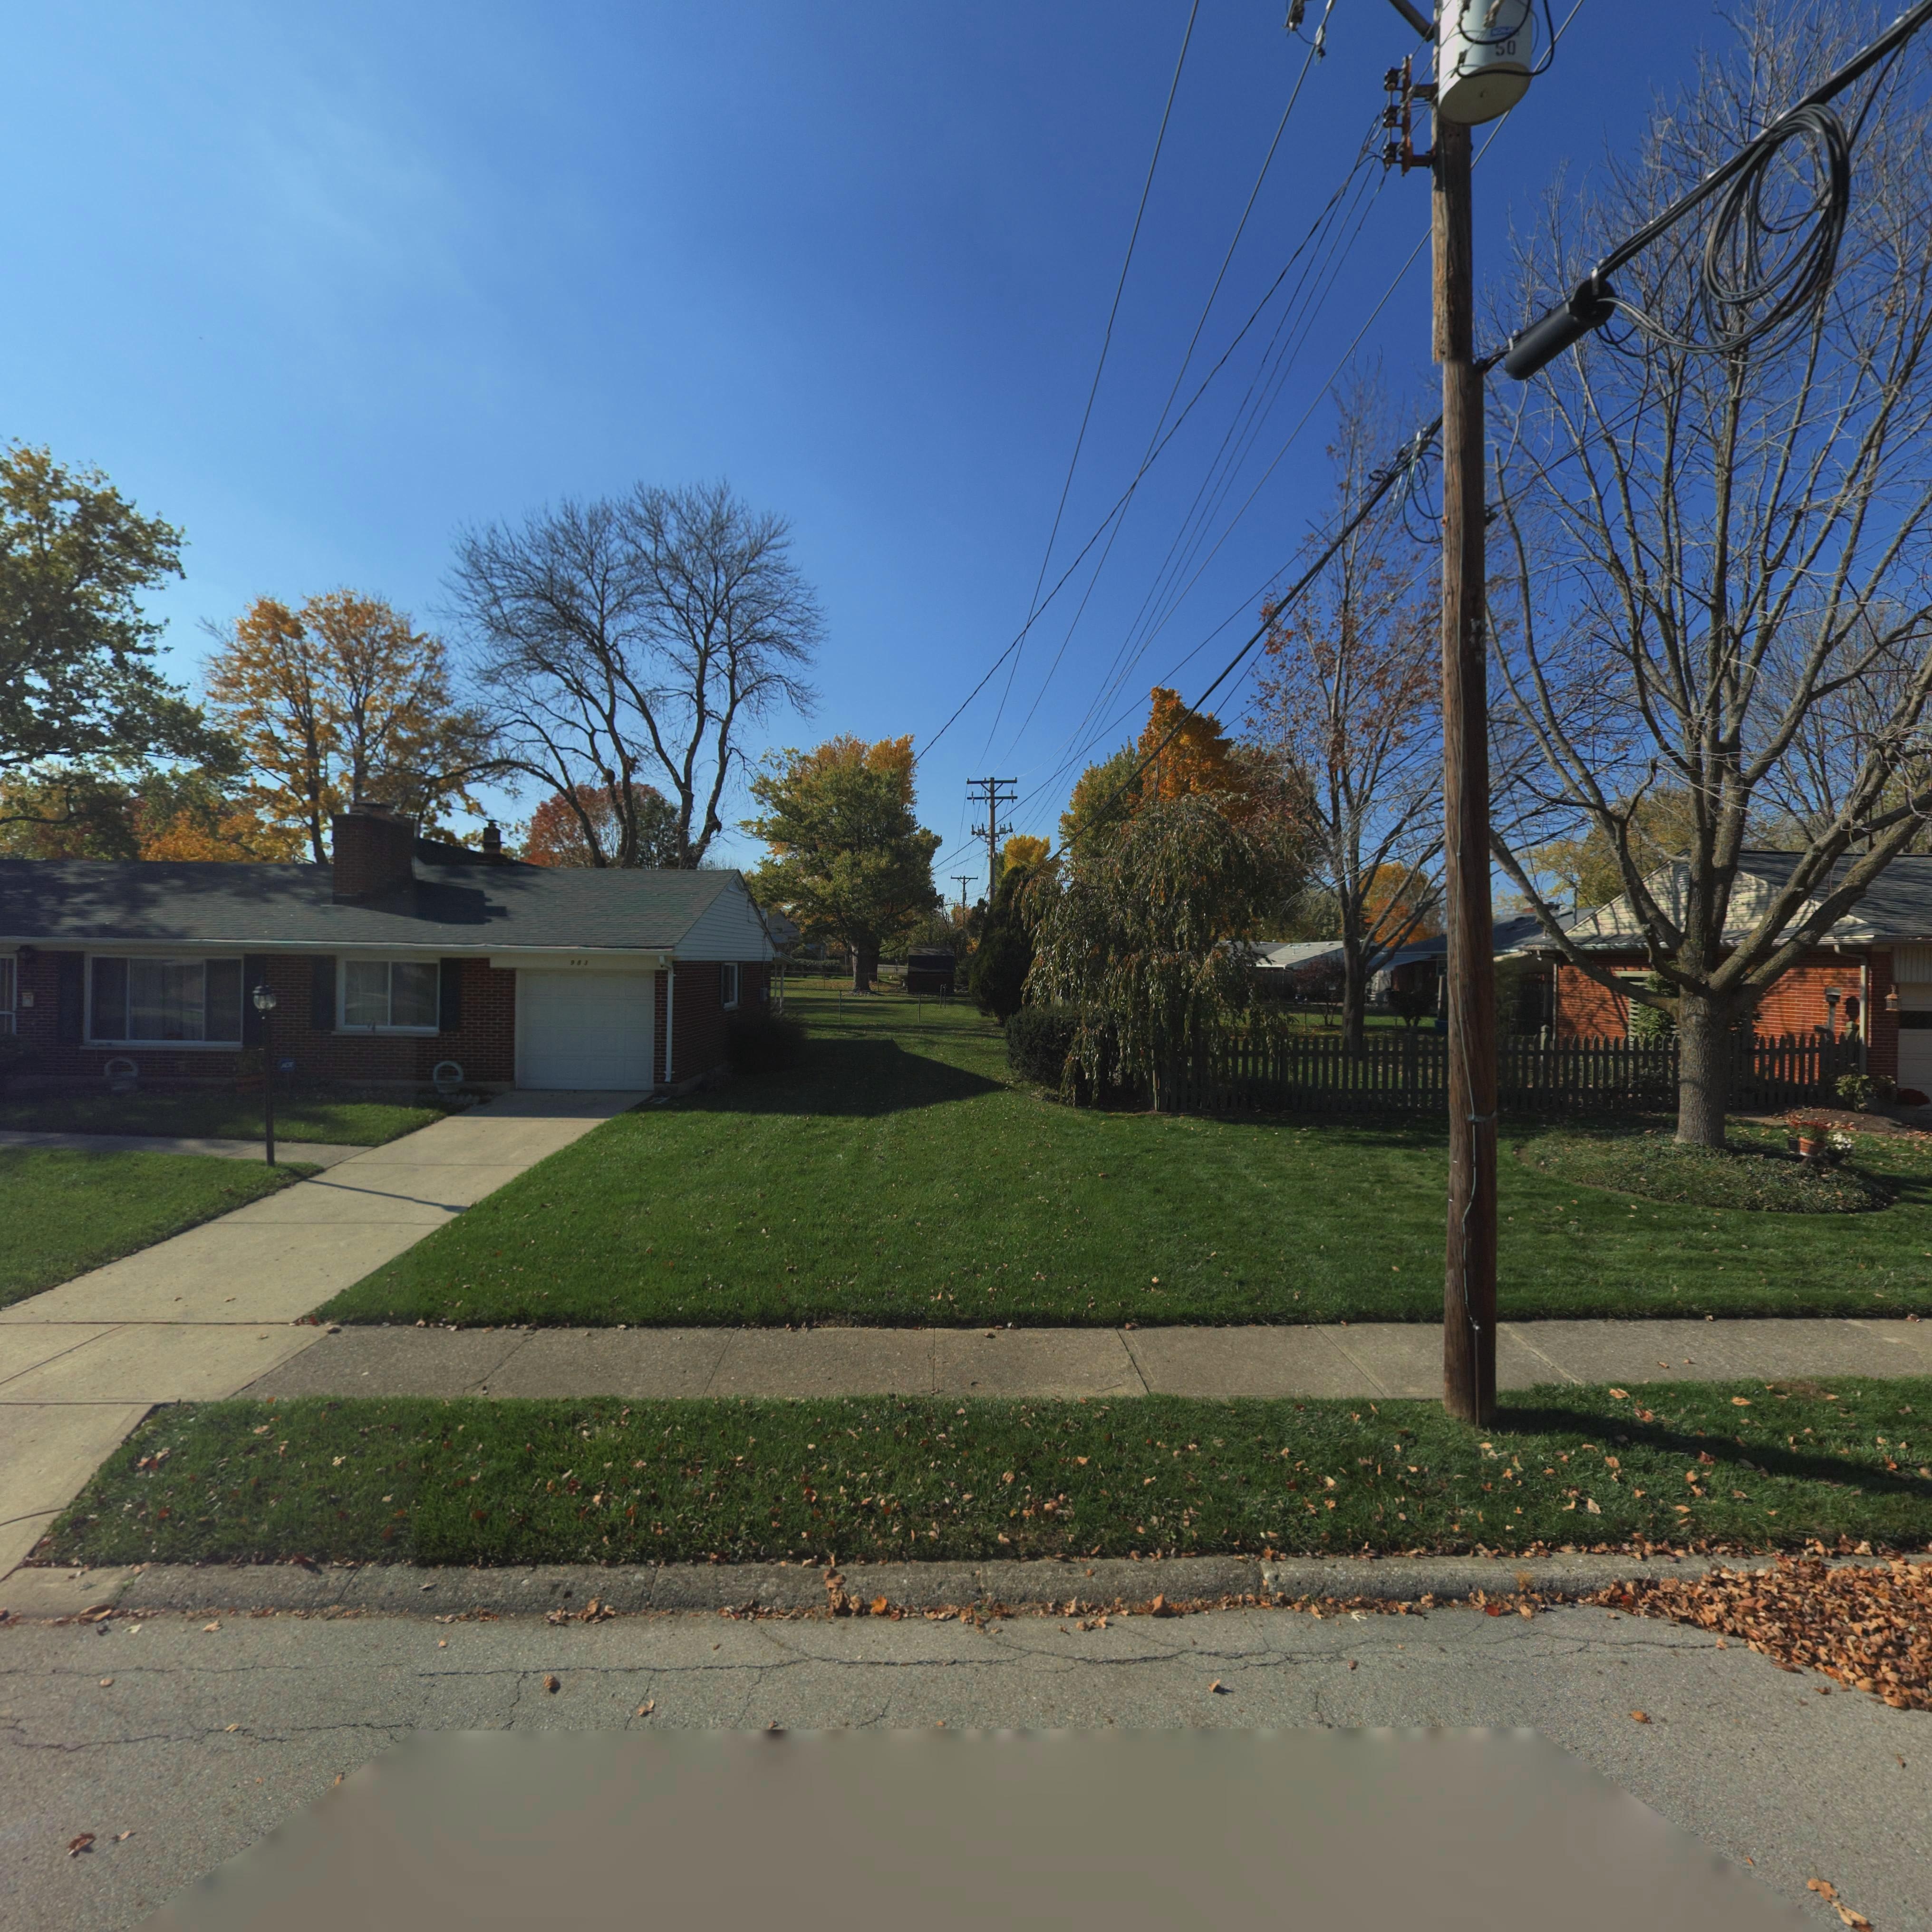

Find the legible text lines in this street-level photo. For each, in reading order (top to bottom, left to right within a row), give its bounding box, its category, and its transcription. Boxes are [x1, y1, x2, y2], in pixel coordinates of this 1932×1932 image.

[570, 959, 589, 966] StreetNumber: 983